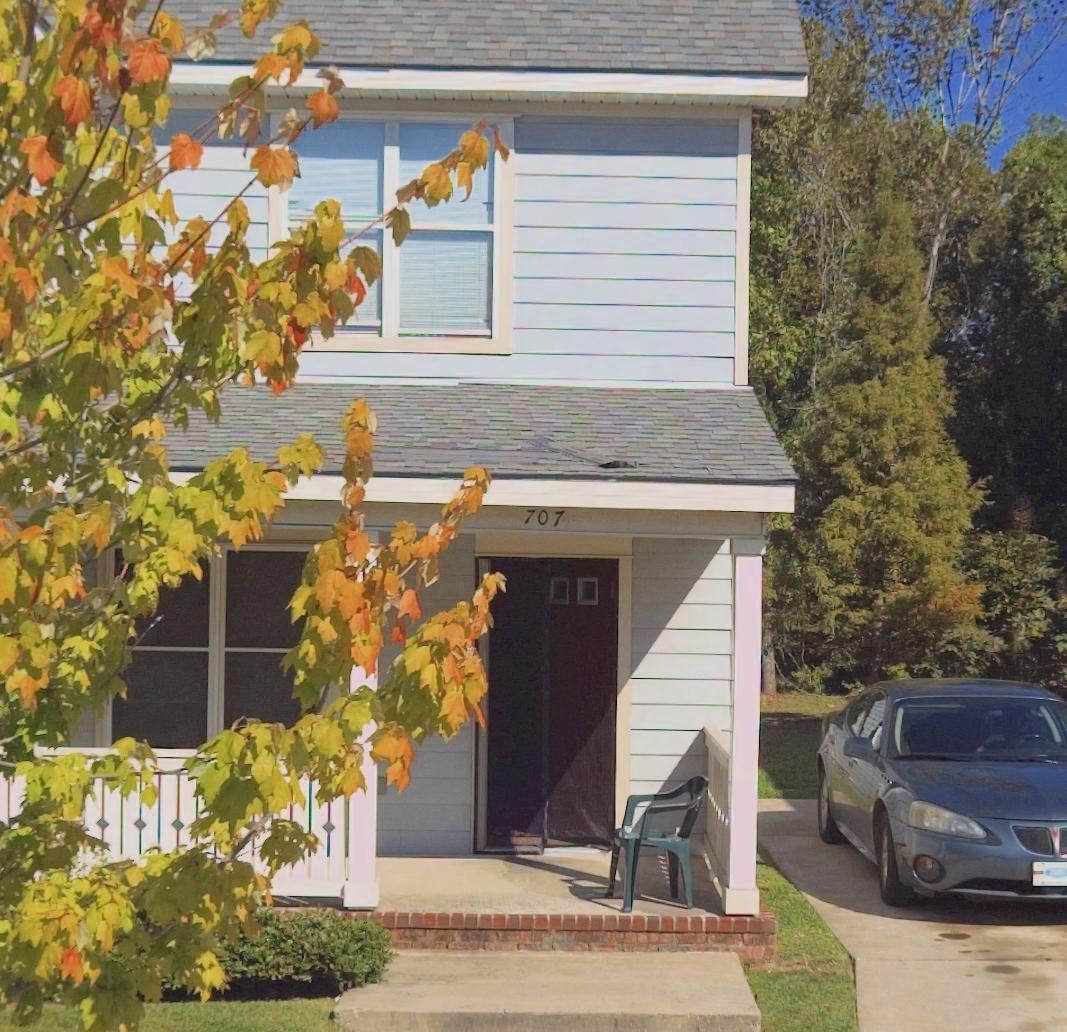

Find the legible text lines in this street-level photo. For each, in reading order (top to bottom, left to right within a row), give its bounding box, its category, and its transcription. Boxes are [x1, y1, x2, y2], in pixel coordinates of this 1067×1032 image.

[521, 507, 570, 529] StreetNumber: 707